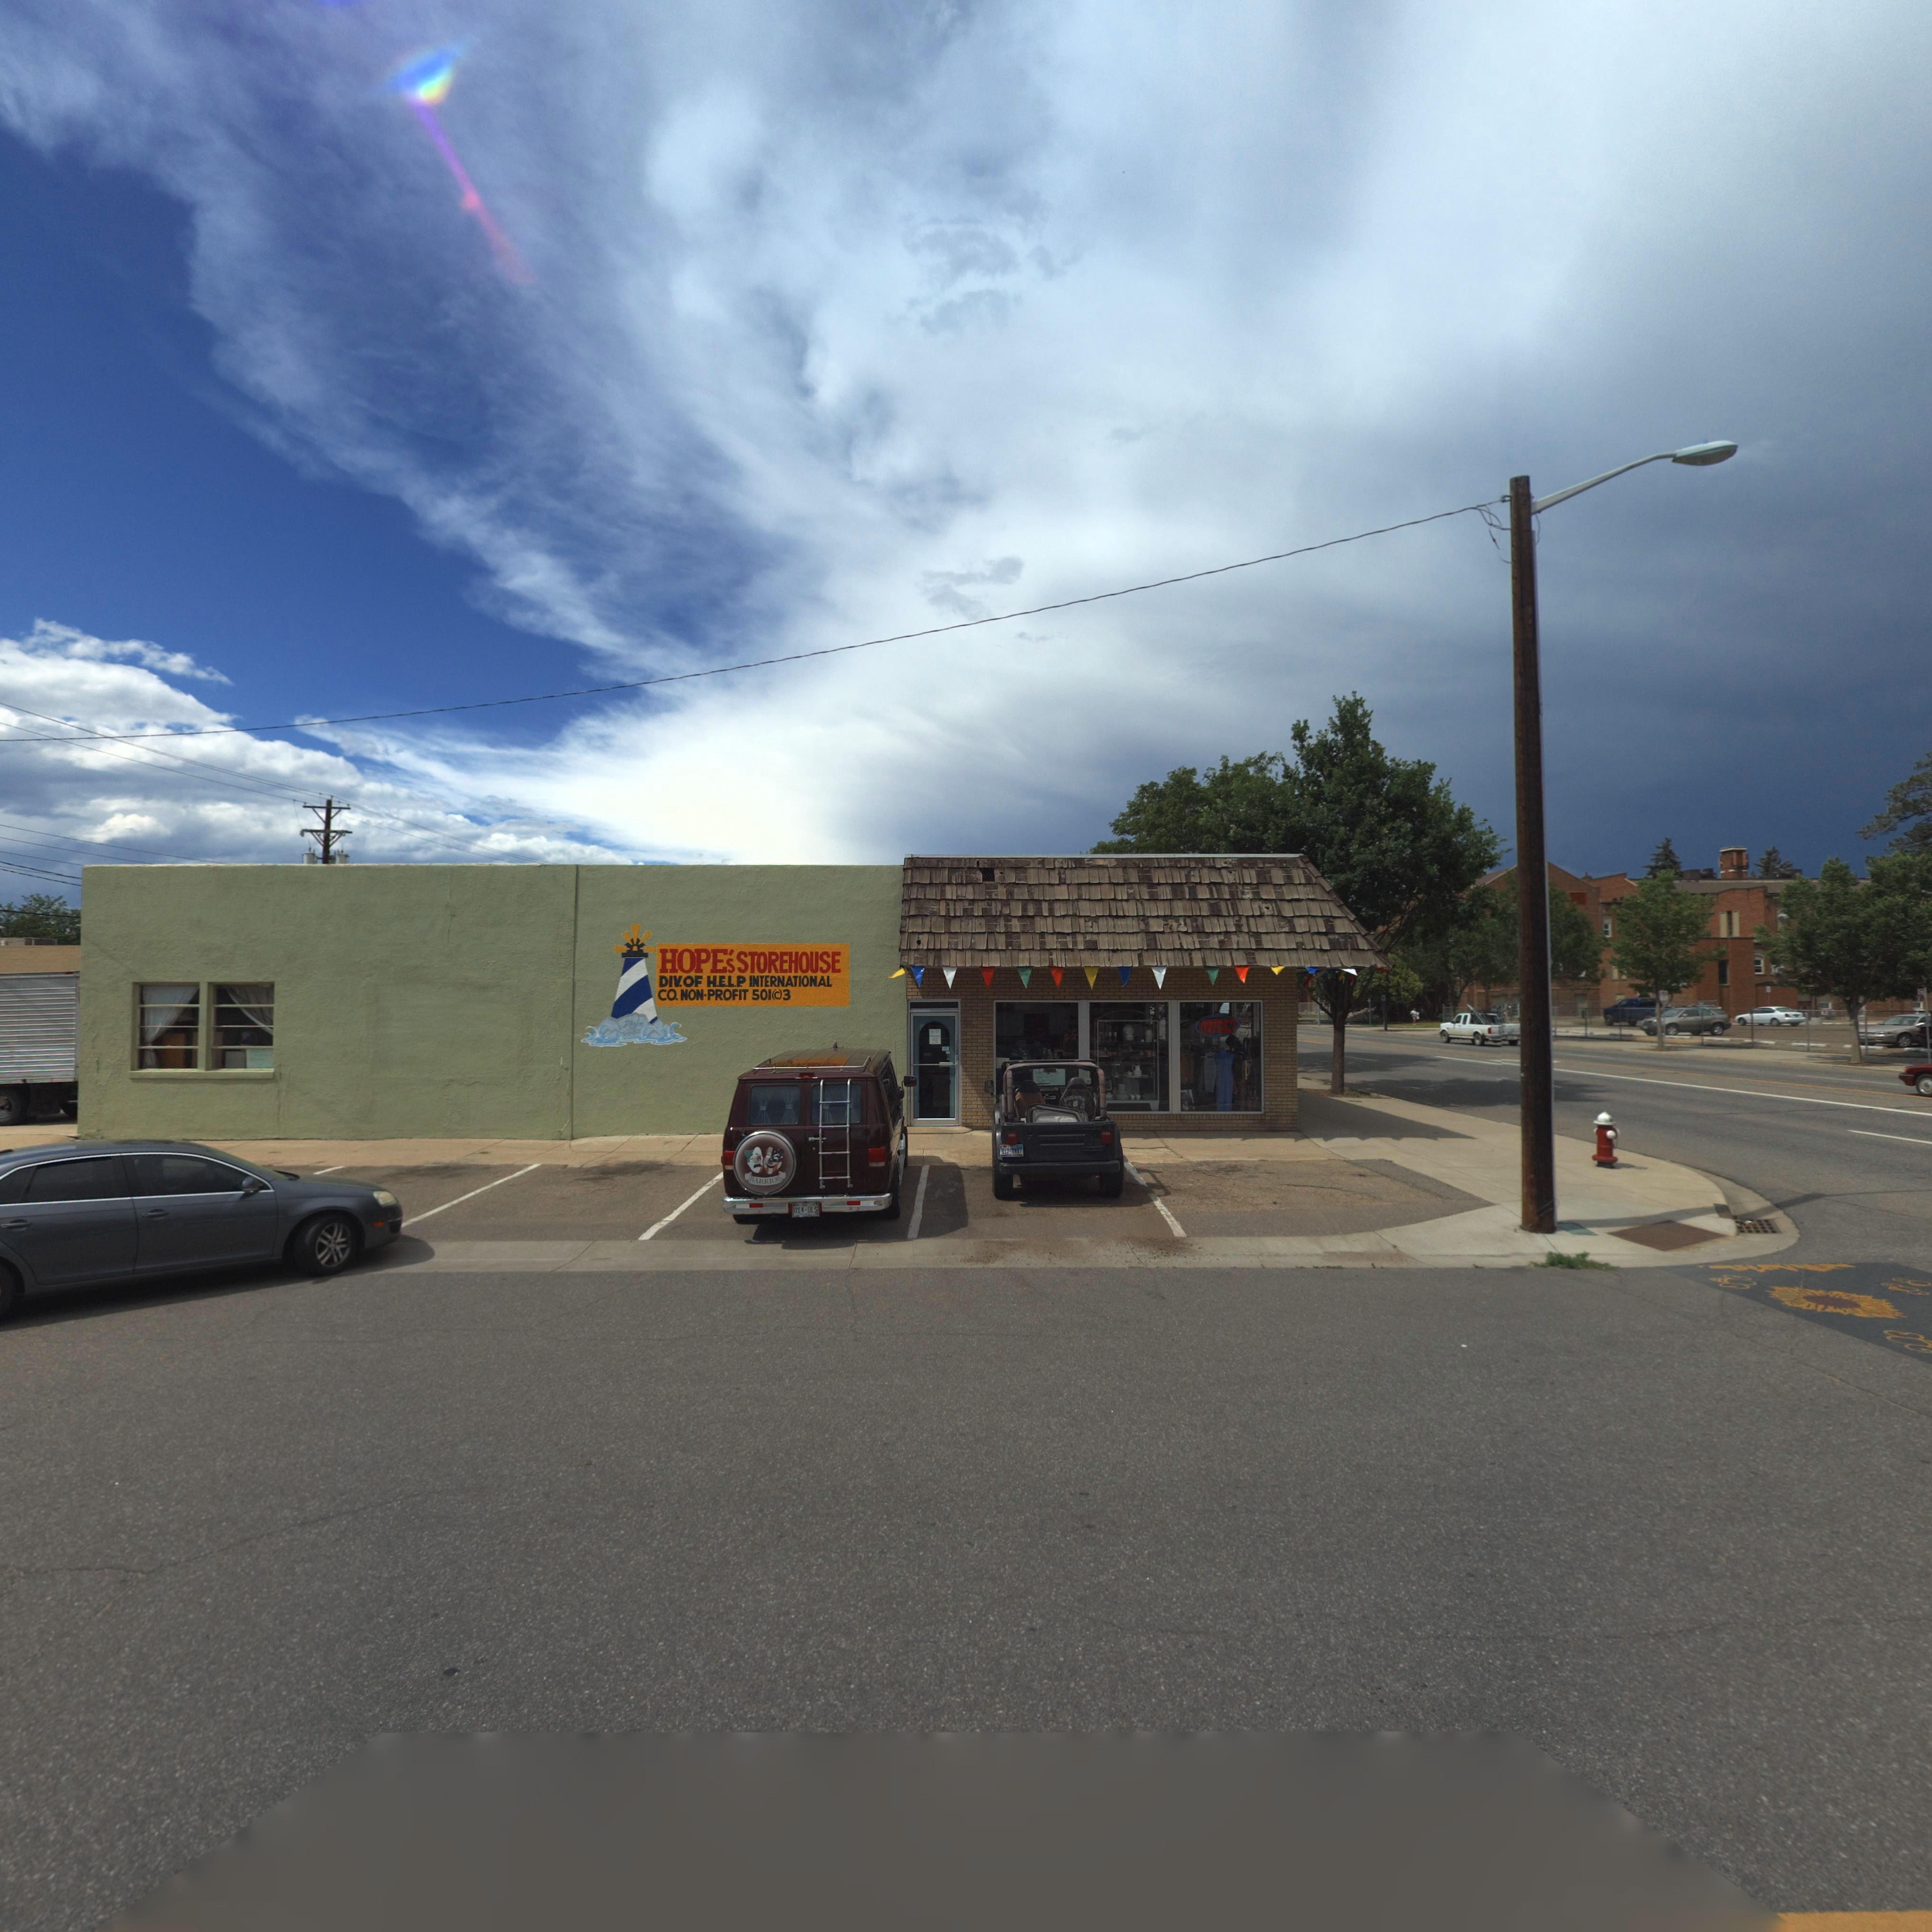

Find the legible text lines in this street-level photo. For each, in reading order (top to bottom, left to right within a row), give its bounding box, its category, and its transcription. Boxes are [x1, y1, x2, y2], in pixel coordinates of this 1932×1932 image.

[659, 947, 841, 973] BusinessName: HOPE's STOREHOUSE